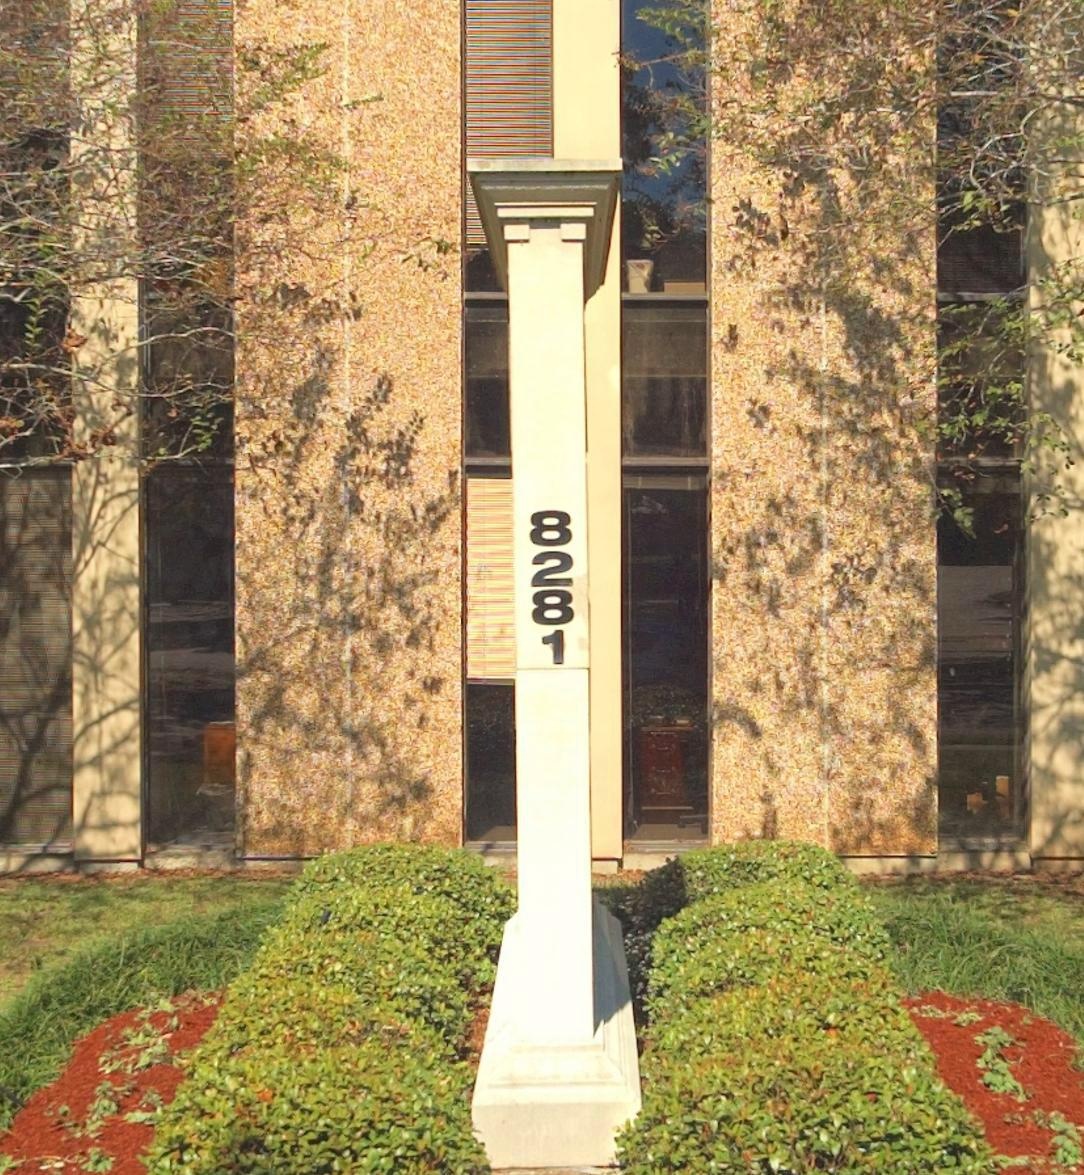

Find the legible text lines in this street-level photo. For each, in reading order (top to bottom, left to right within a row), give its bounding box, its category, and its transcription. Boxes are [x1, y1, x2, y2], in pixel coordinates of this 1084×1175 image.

[524, 506, 581, 669] StreetNumber: 8281